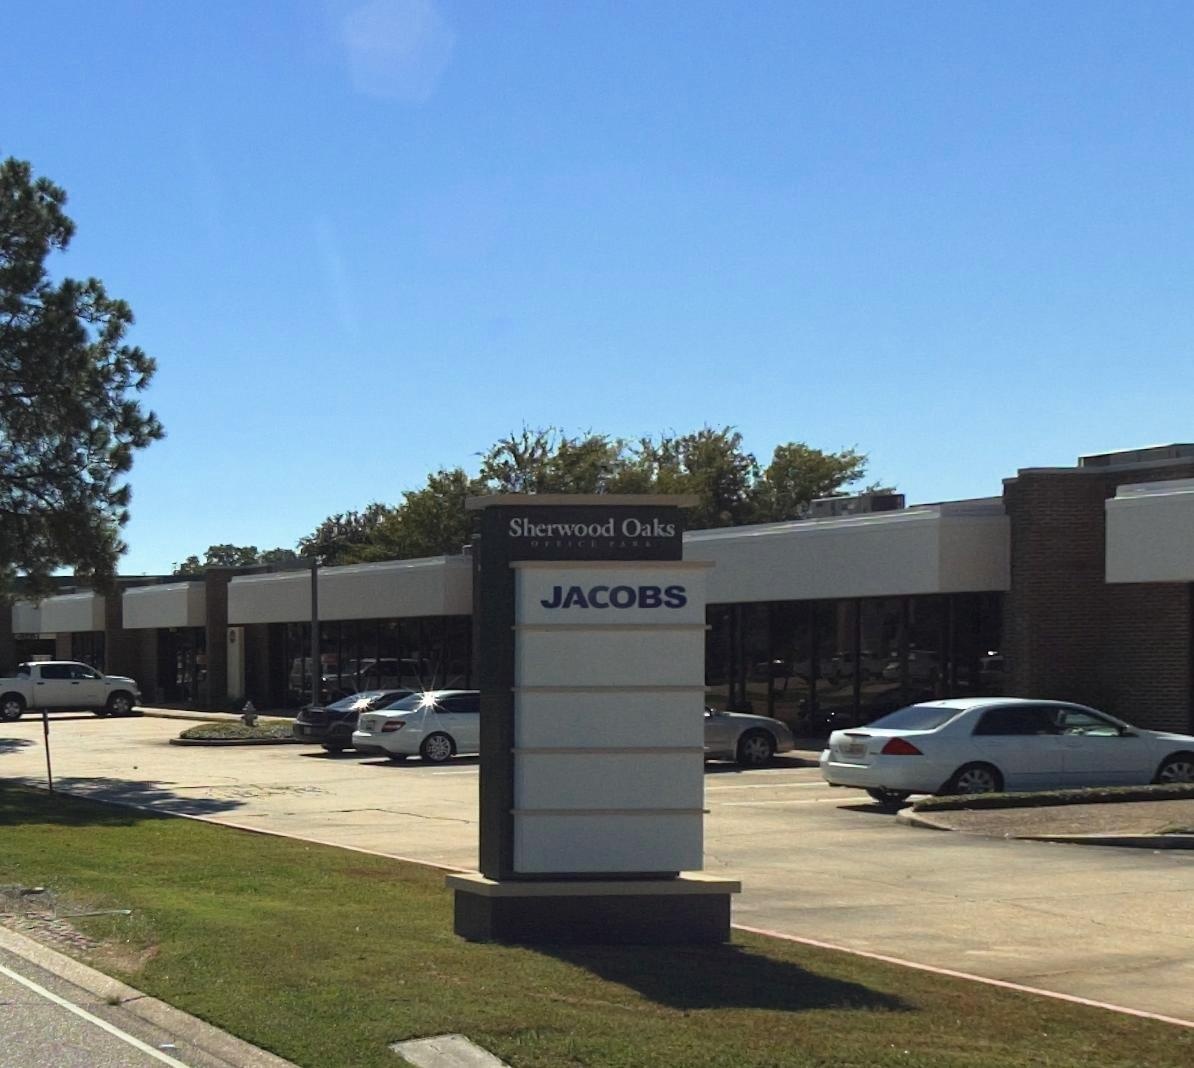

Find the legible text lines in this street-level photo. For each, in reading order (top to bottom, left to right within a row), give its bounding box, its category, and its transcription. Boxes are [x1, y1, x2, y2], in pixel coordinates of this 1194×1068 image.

[506, 515, 678, 540] BusinessName: Sherwood Oaks
[534, 580, 691, 613] BusinessName: JACOBS